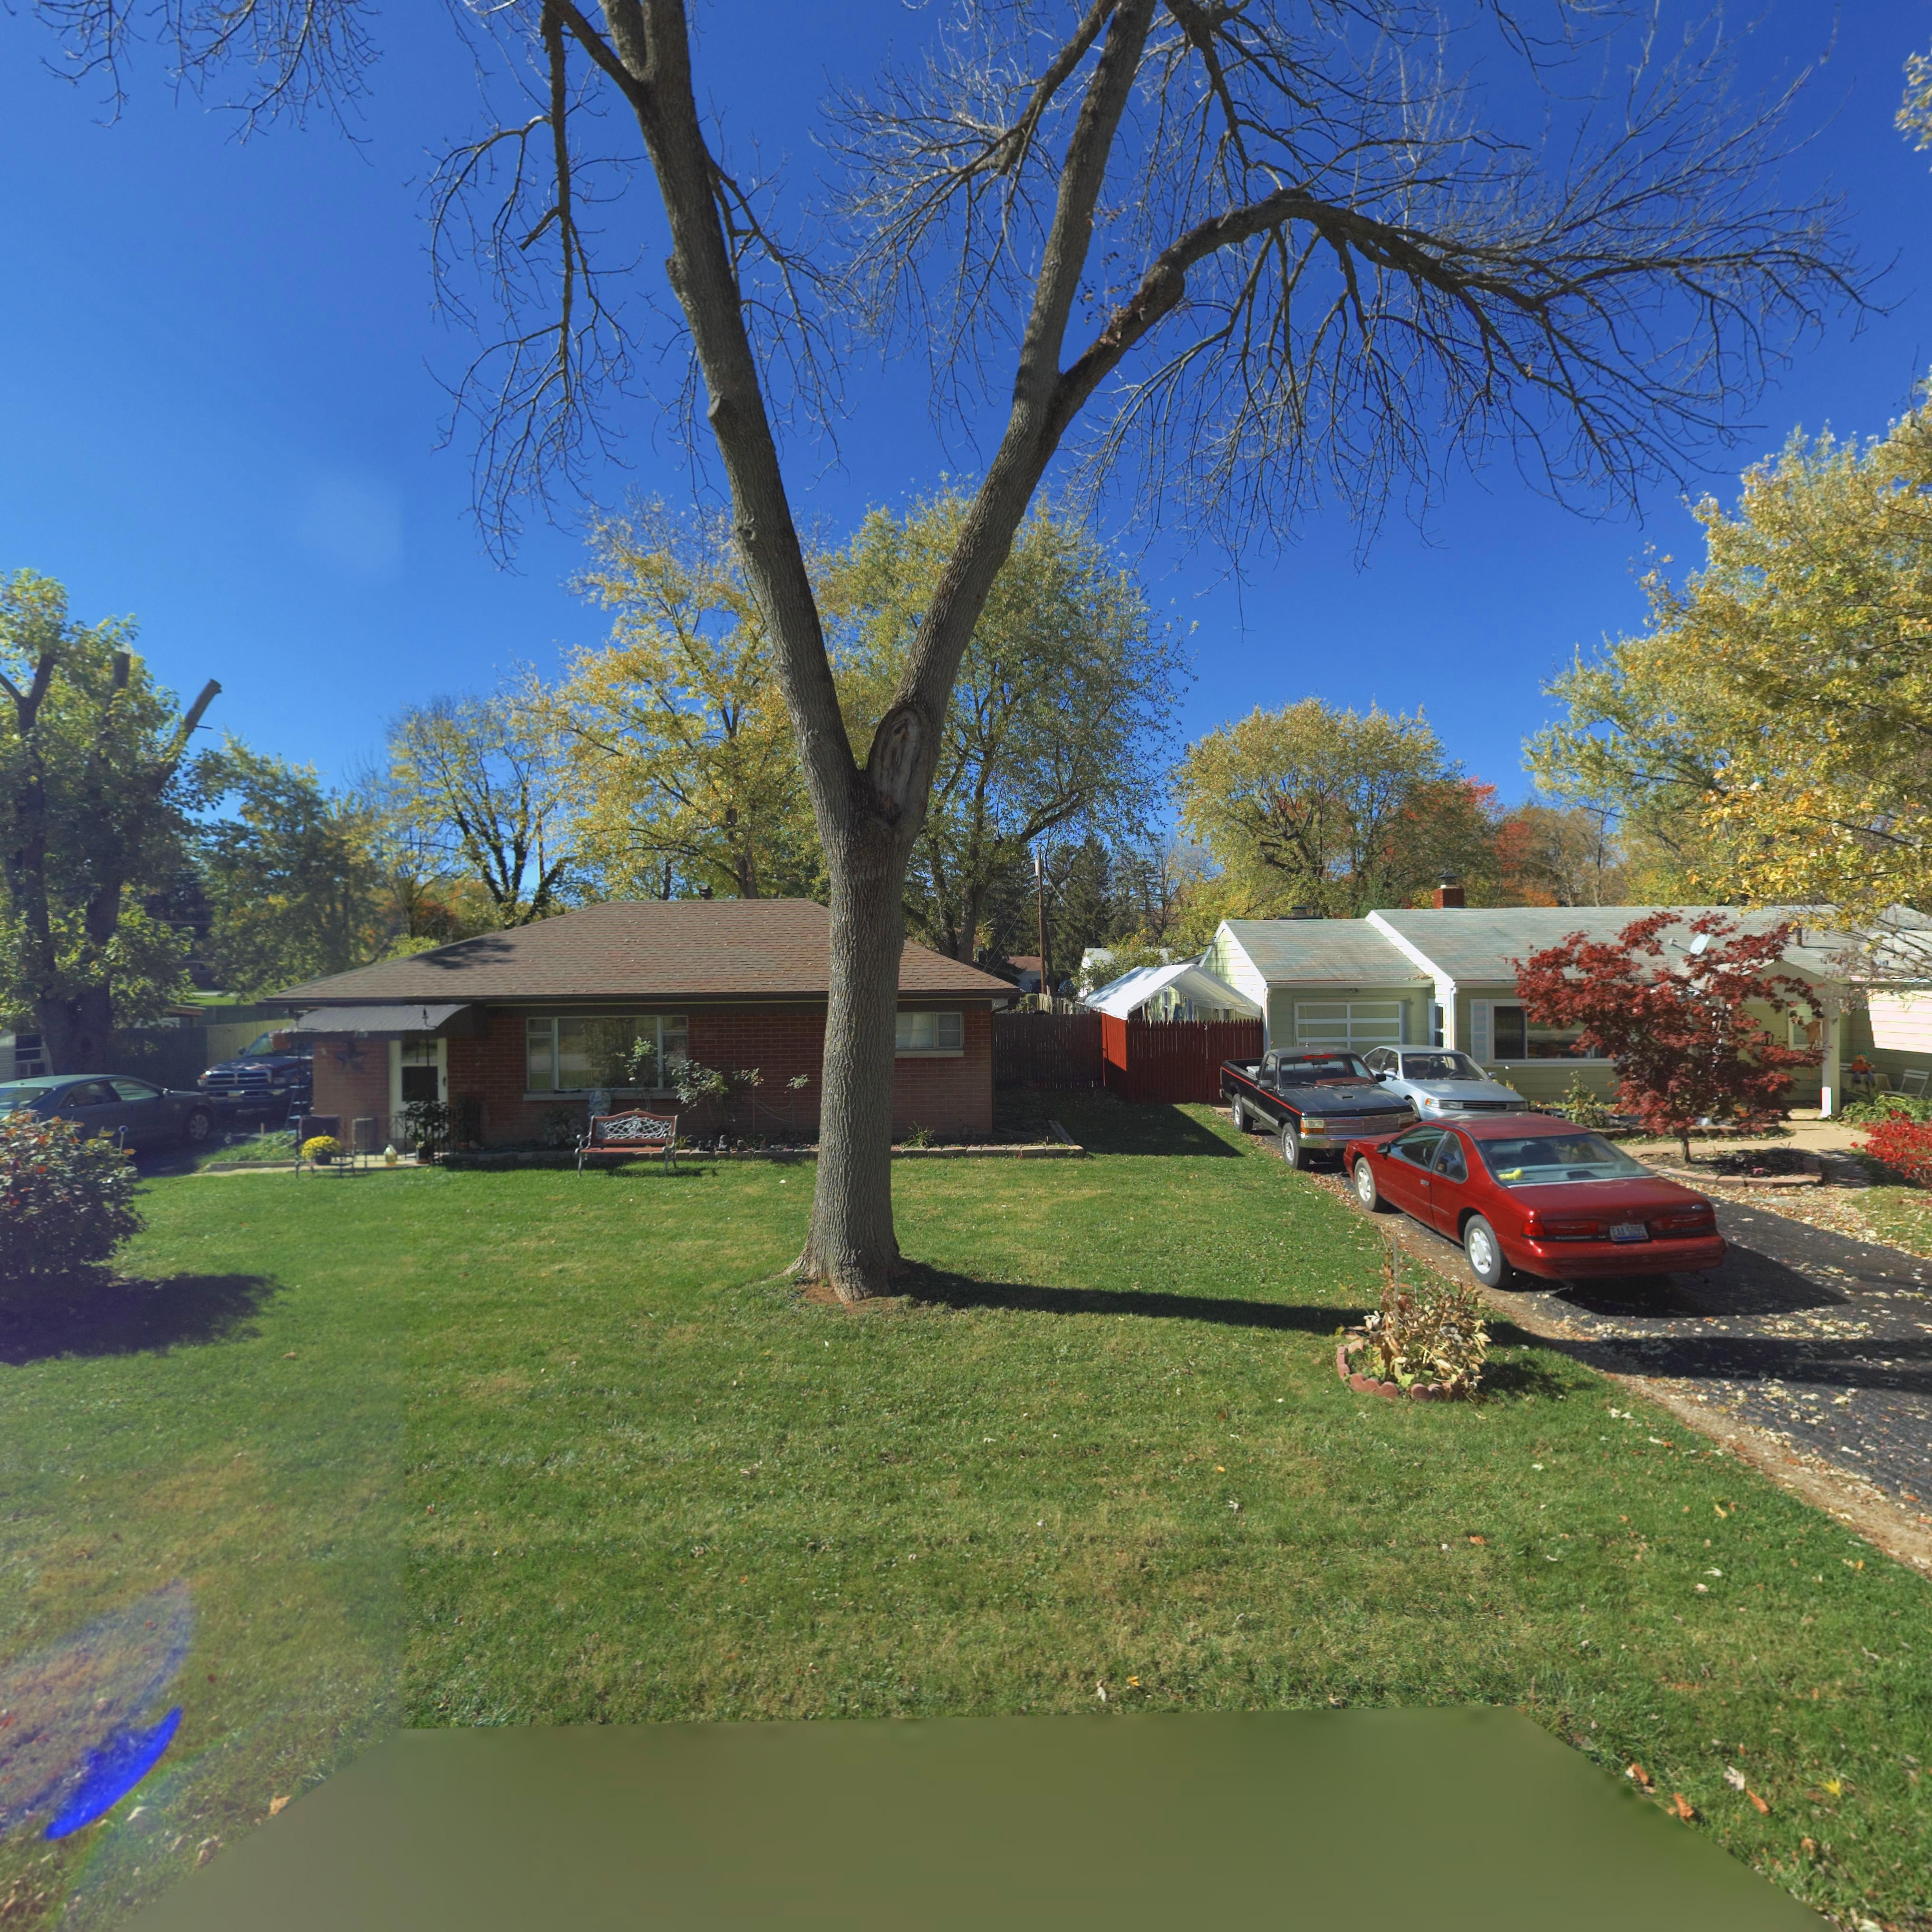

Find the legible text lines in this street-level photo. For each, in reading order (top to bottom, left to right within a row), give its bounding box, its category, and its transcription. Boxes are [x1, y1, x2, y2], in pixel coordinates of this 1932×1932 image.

[352, 1031, 369, 1038] StreetNumber: 719